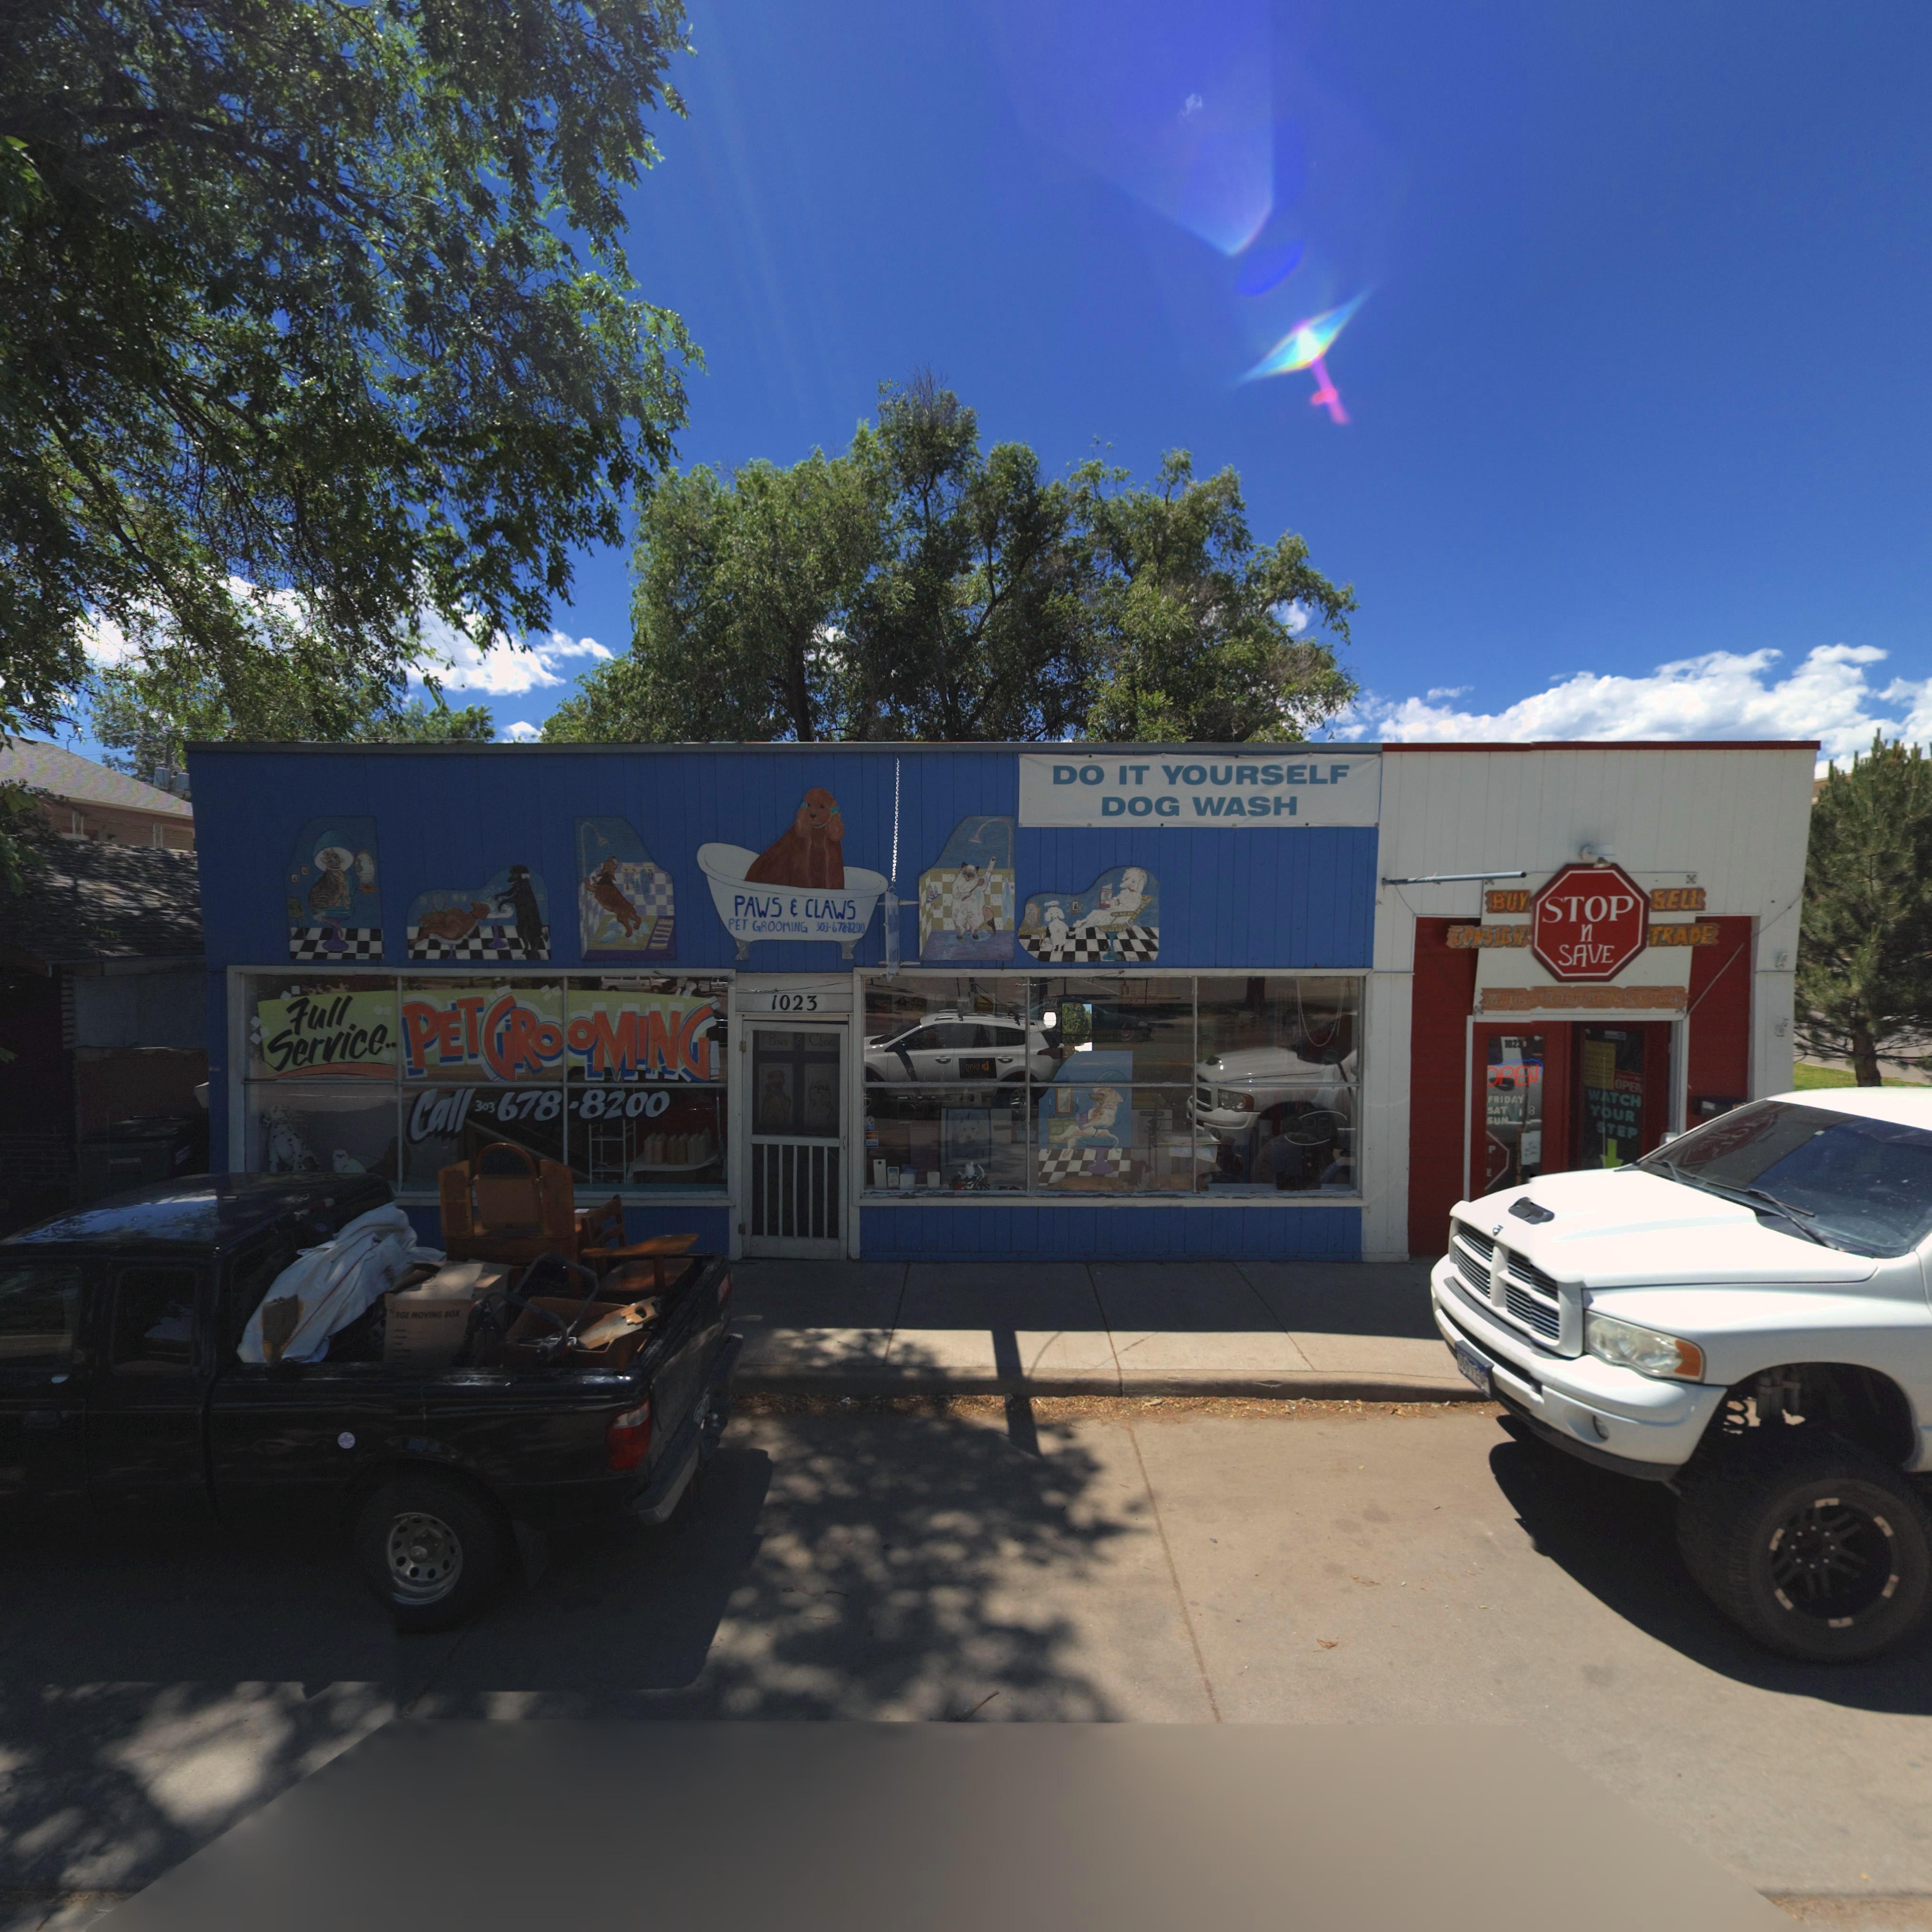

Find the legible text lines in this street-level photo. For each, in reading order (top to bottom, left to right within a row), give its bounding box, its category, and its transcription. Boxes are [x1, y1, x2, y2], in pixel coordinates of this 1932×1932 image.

[734, 894, 856, 920] BusinessName: PAWS * CLAWS
[1542, 895, 1634, 922] BusinessName: STOP
[728, 918, 808, 933] BusinessName: PET GROOMING
[1579, 923, 1593, 942] BusinessName: n
[1557, 943, 1615, 967] BusinessName: SAVE
[771, 994, 818, 1011] StreetNumber: 1023
[768, 1032, 838, 1047] BusinessName: Paws & Claws
[1504, 1039, 1523, 1048] StreetNumber: 1023
[1523, 1041, 1527, 1047] SecondaryUnitDesignator: B
[1488, 1145, 1496, 1153] BusinessName: P
[1486, 1168, 1491, 1177] BusinessName: E